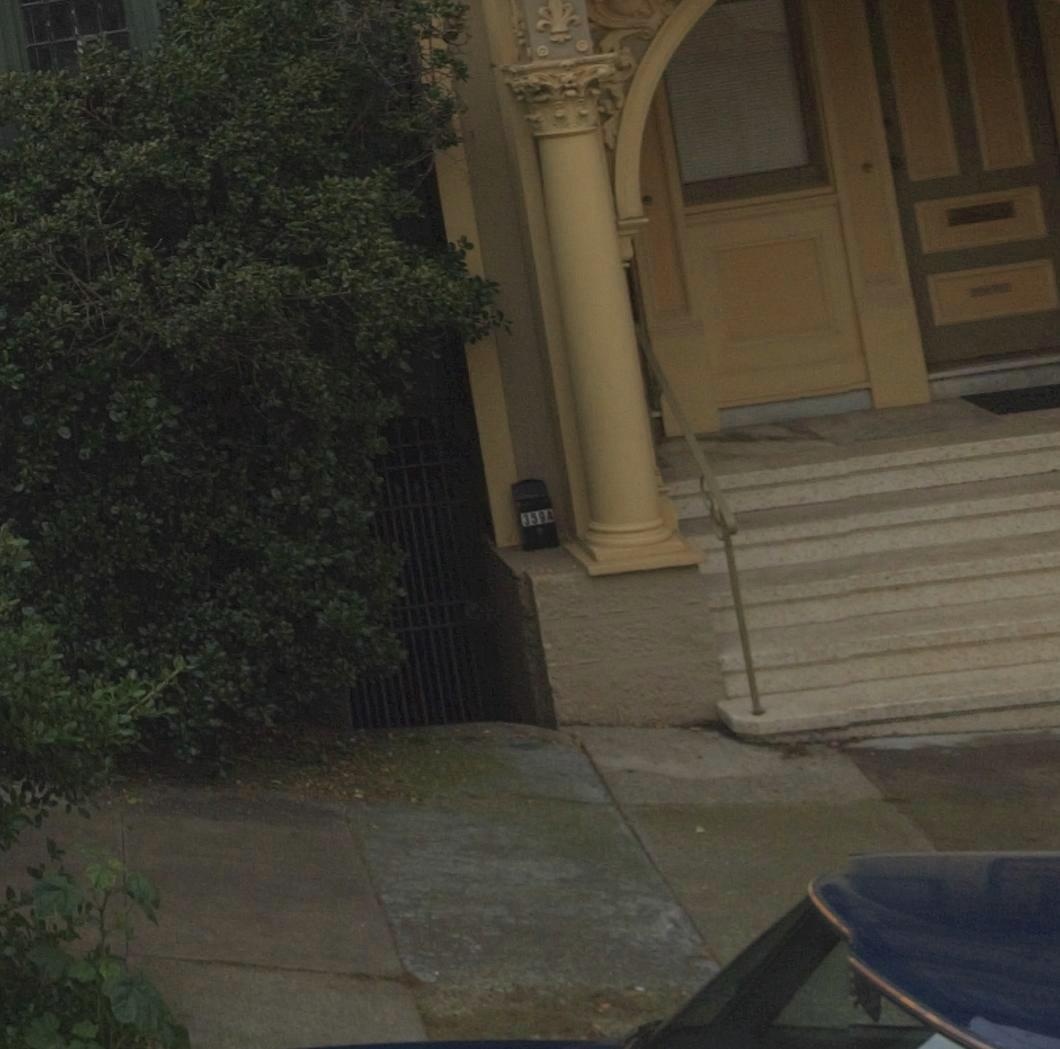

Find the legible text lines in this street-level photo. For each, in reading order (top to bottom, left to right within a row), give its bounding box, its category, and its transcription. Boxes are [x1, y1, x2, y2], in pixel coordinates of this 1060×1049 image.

[520, 509, 556, 527] StreetNumber: 359A